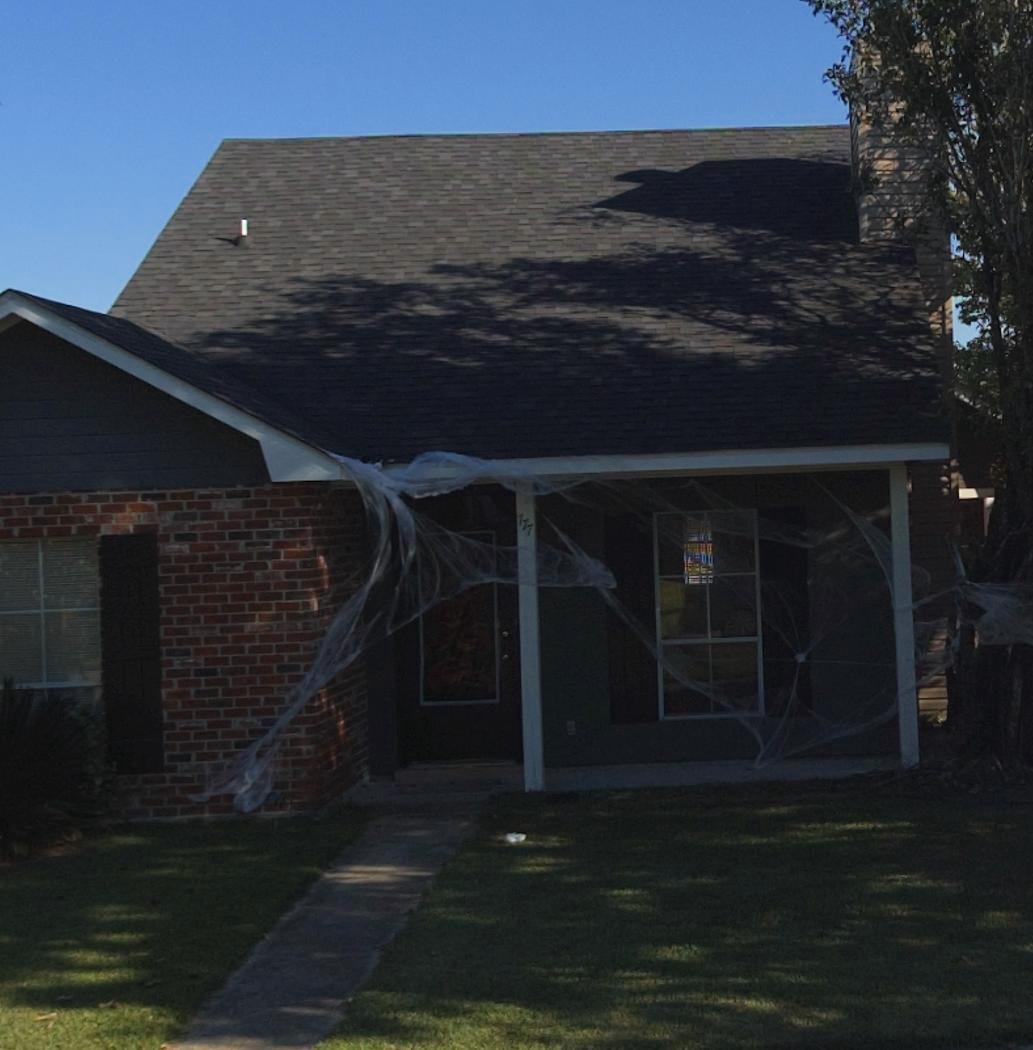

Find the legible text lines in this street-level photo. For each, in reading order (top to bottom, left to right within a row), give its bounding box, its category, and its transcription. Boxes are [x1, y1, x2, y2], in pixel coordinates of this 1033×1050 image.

[516, 513, 535, 538] StreetNumber: 777